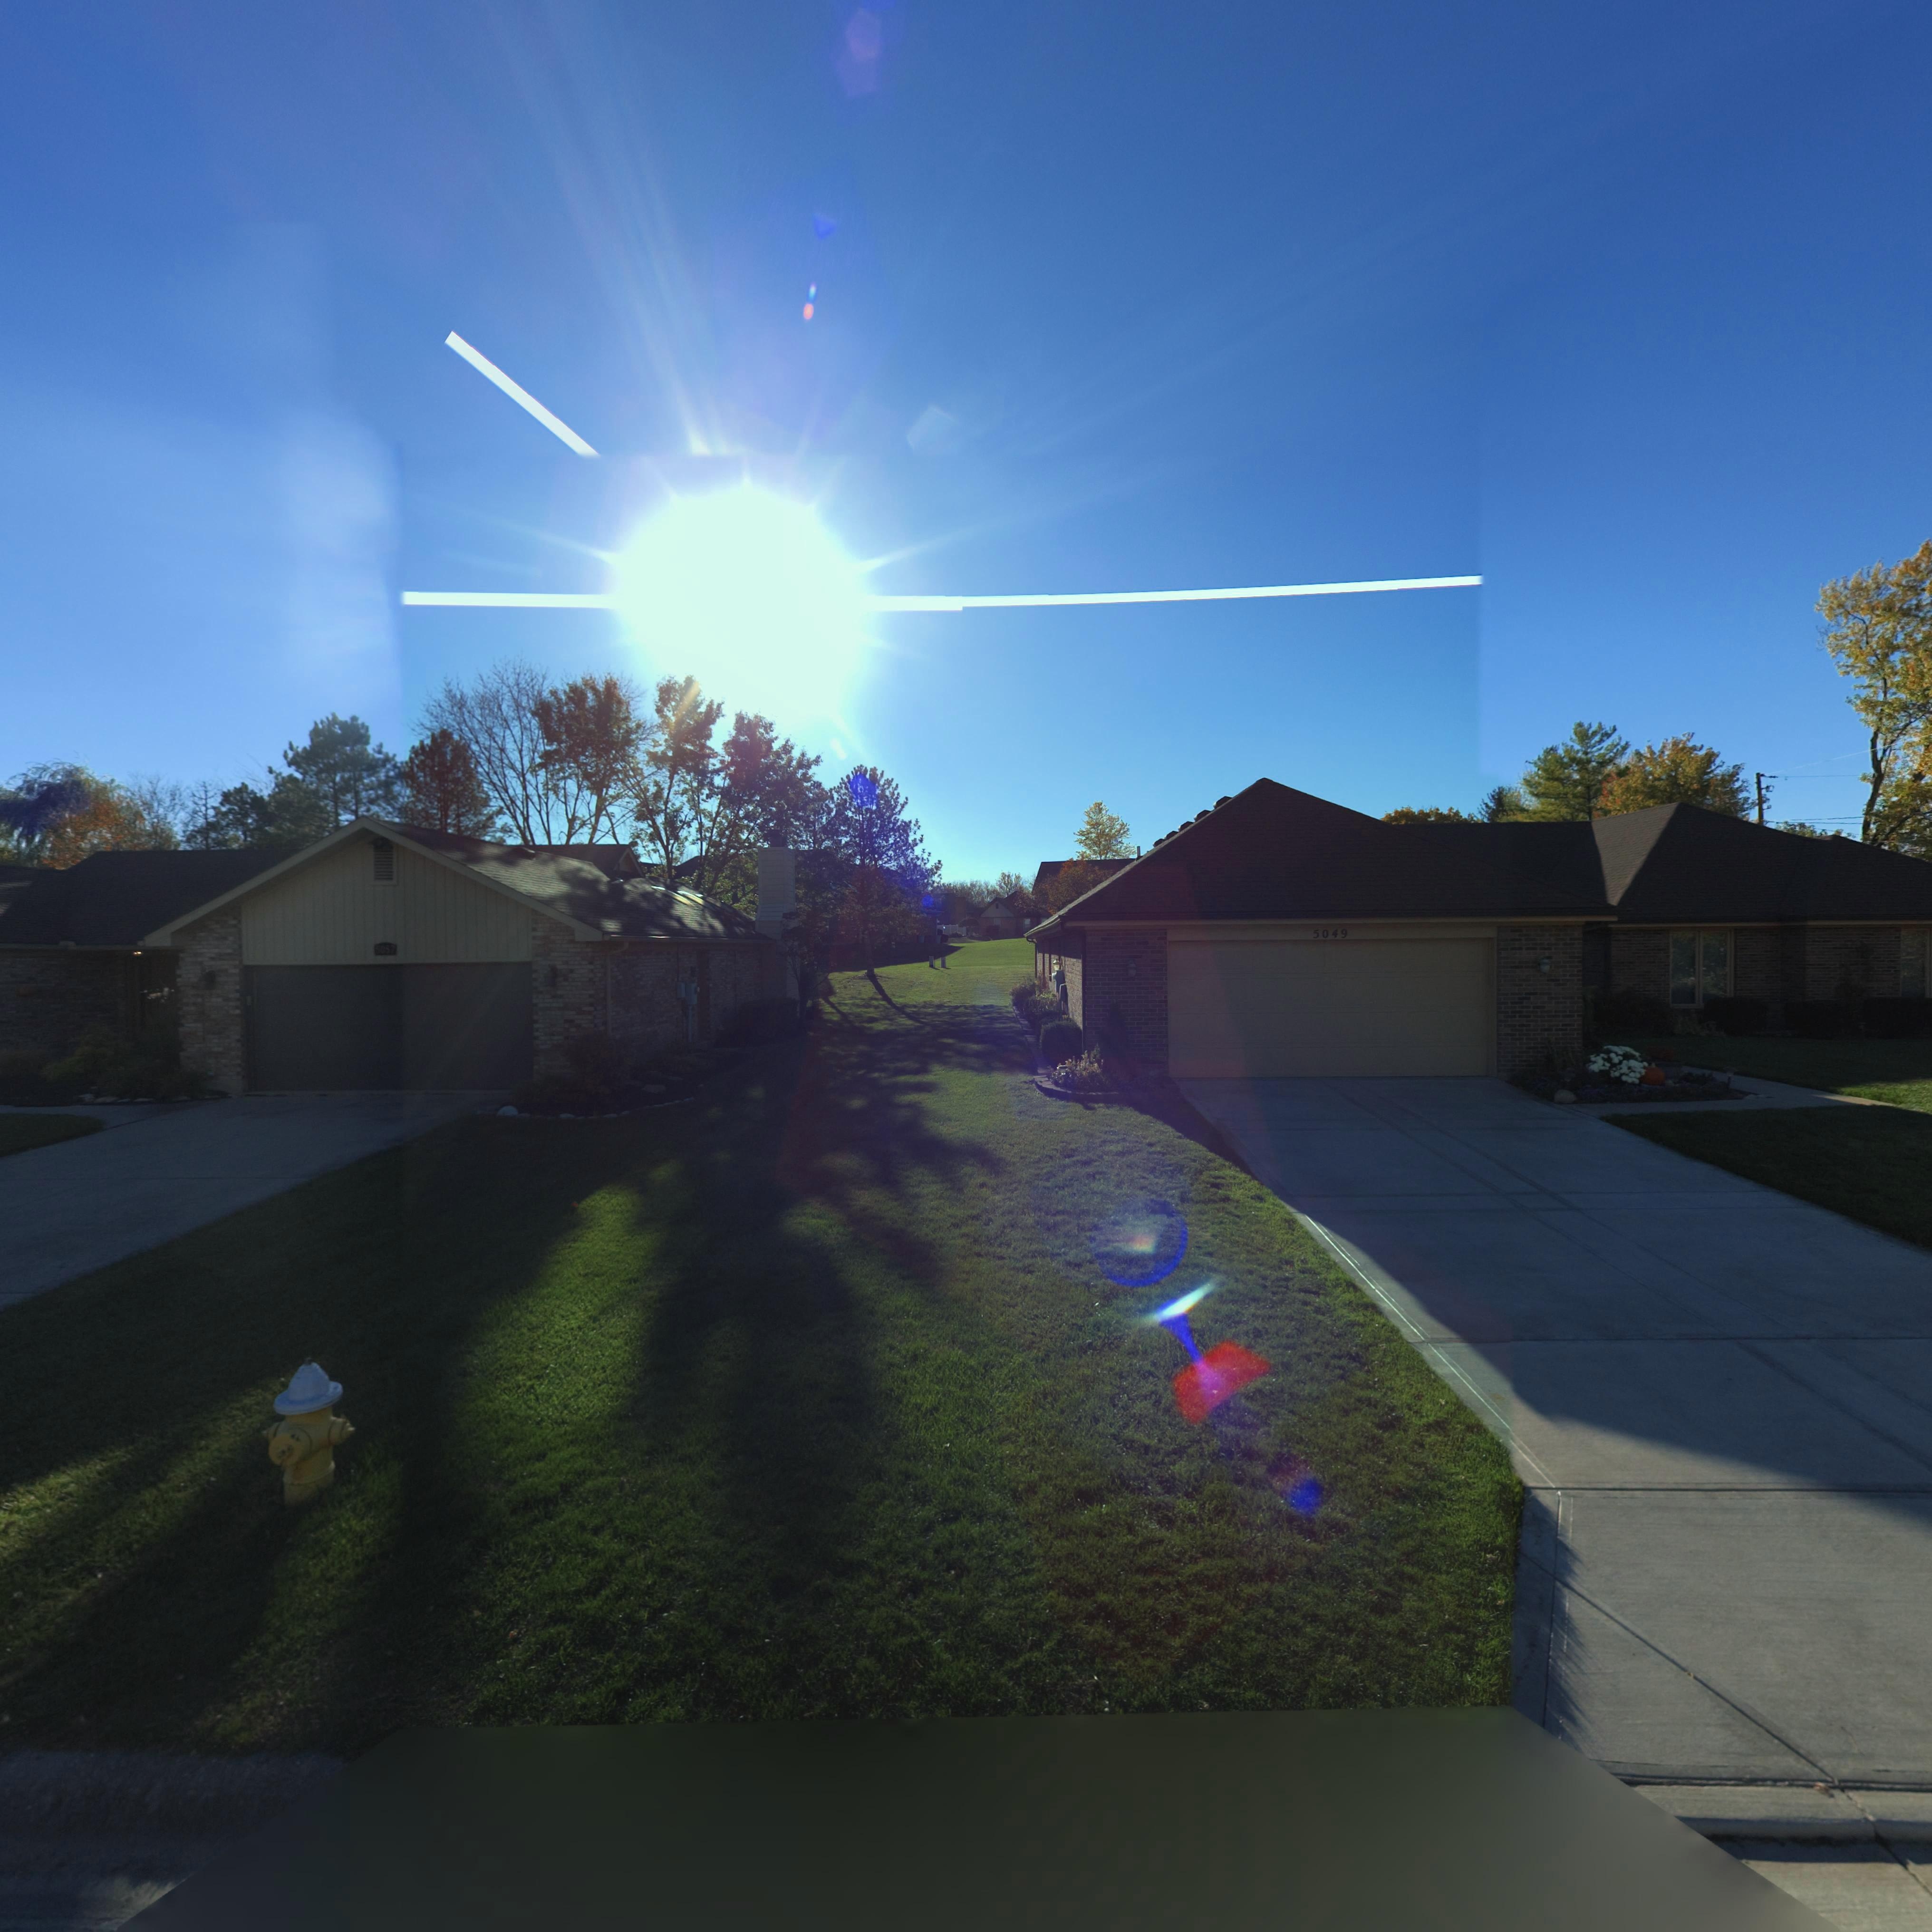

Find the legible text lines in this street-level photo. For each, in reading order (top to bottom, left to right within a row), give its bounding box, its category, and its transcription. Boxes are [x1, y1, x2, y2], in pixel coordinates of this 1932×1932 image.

[1312, 928, 1348, 939] StreetNumber: 5049
[374, 944, 396, 955] StreetNumber: 5057